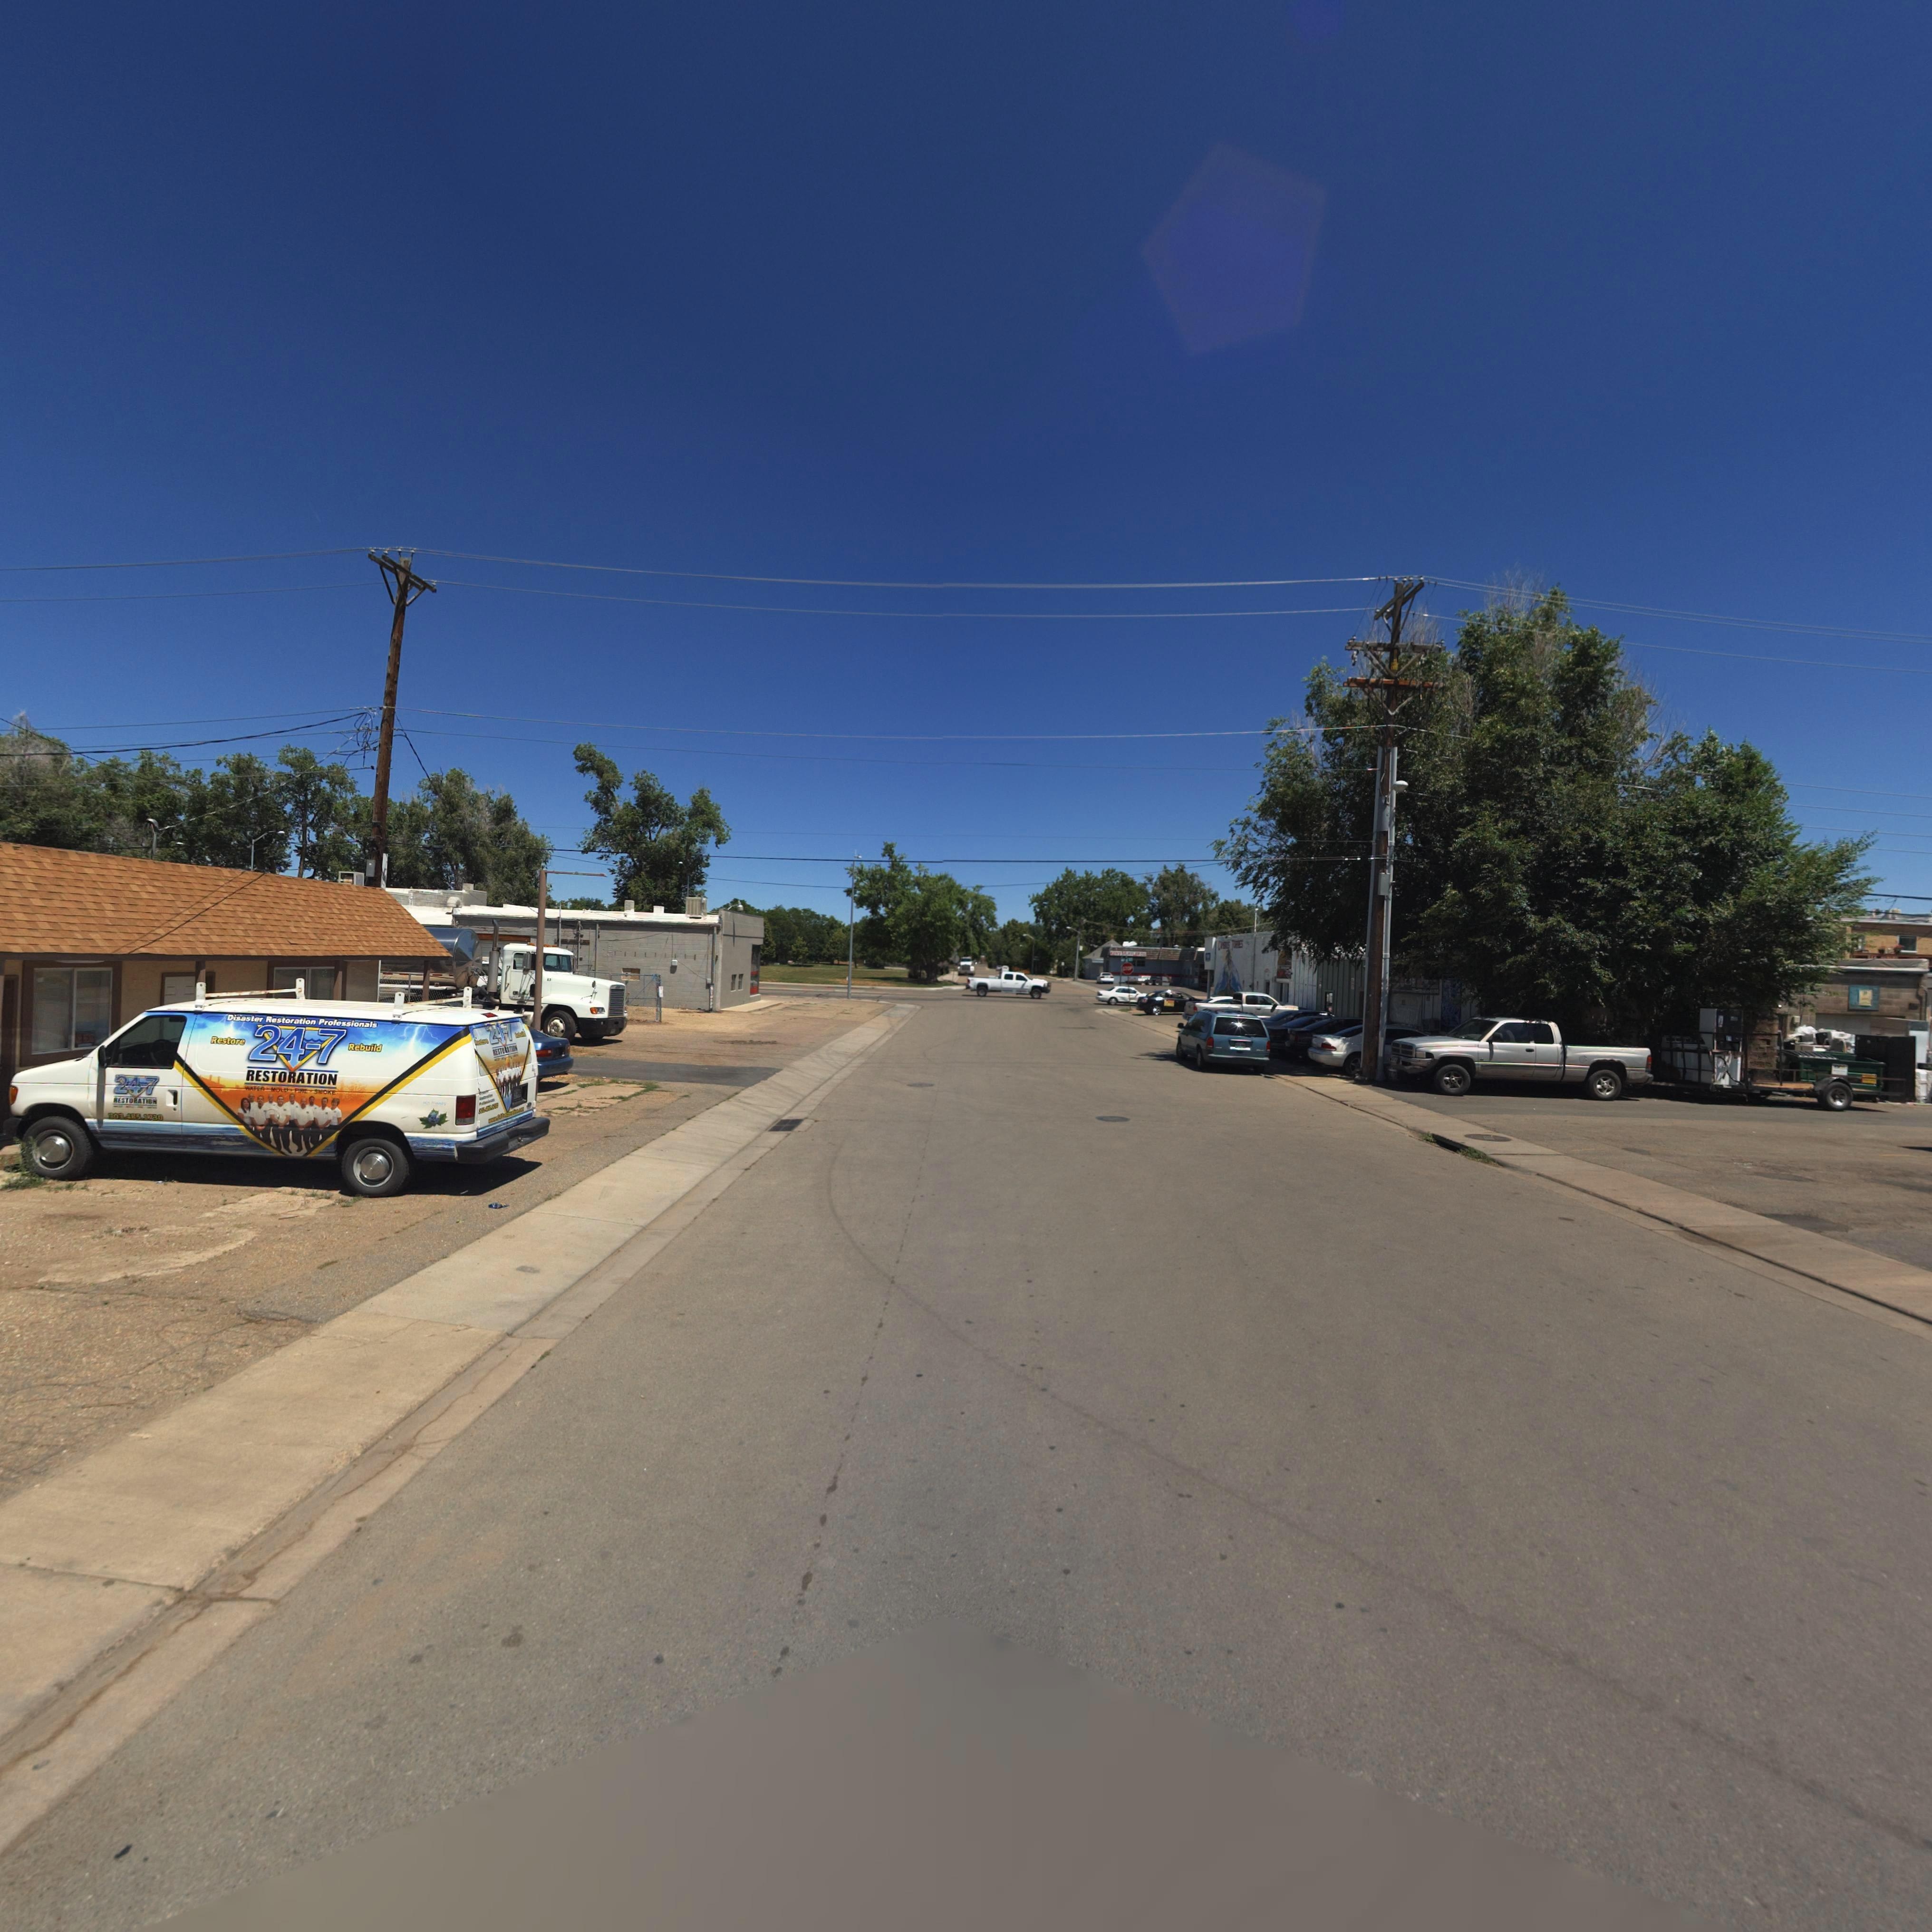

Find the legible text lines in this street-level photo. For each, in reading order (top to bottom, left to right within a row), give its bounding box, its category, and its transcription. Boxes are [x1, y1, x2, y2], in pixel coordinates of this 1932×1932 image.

[1217, 939, 1243, 951] BusinessName: C***** T*****S